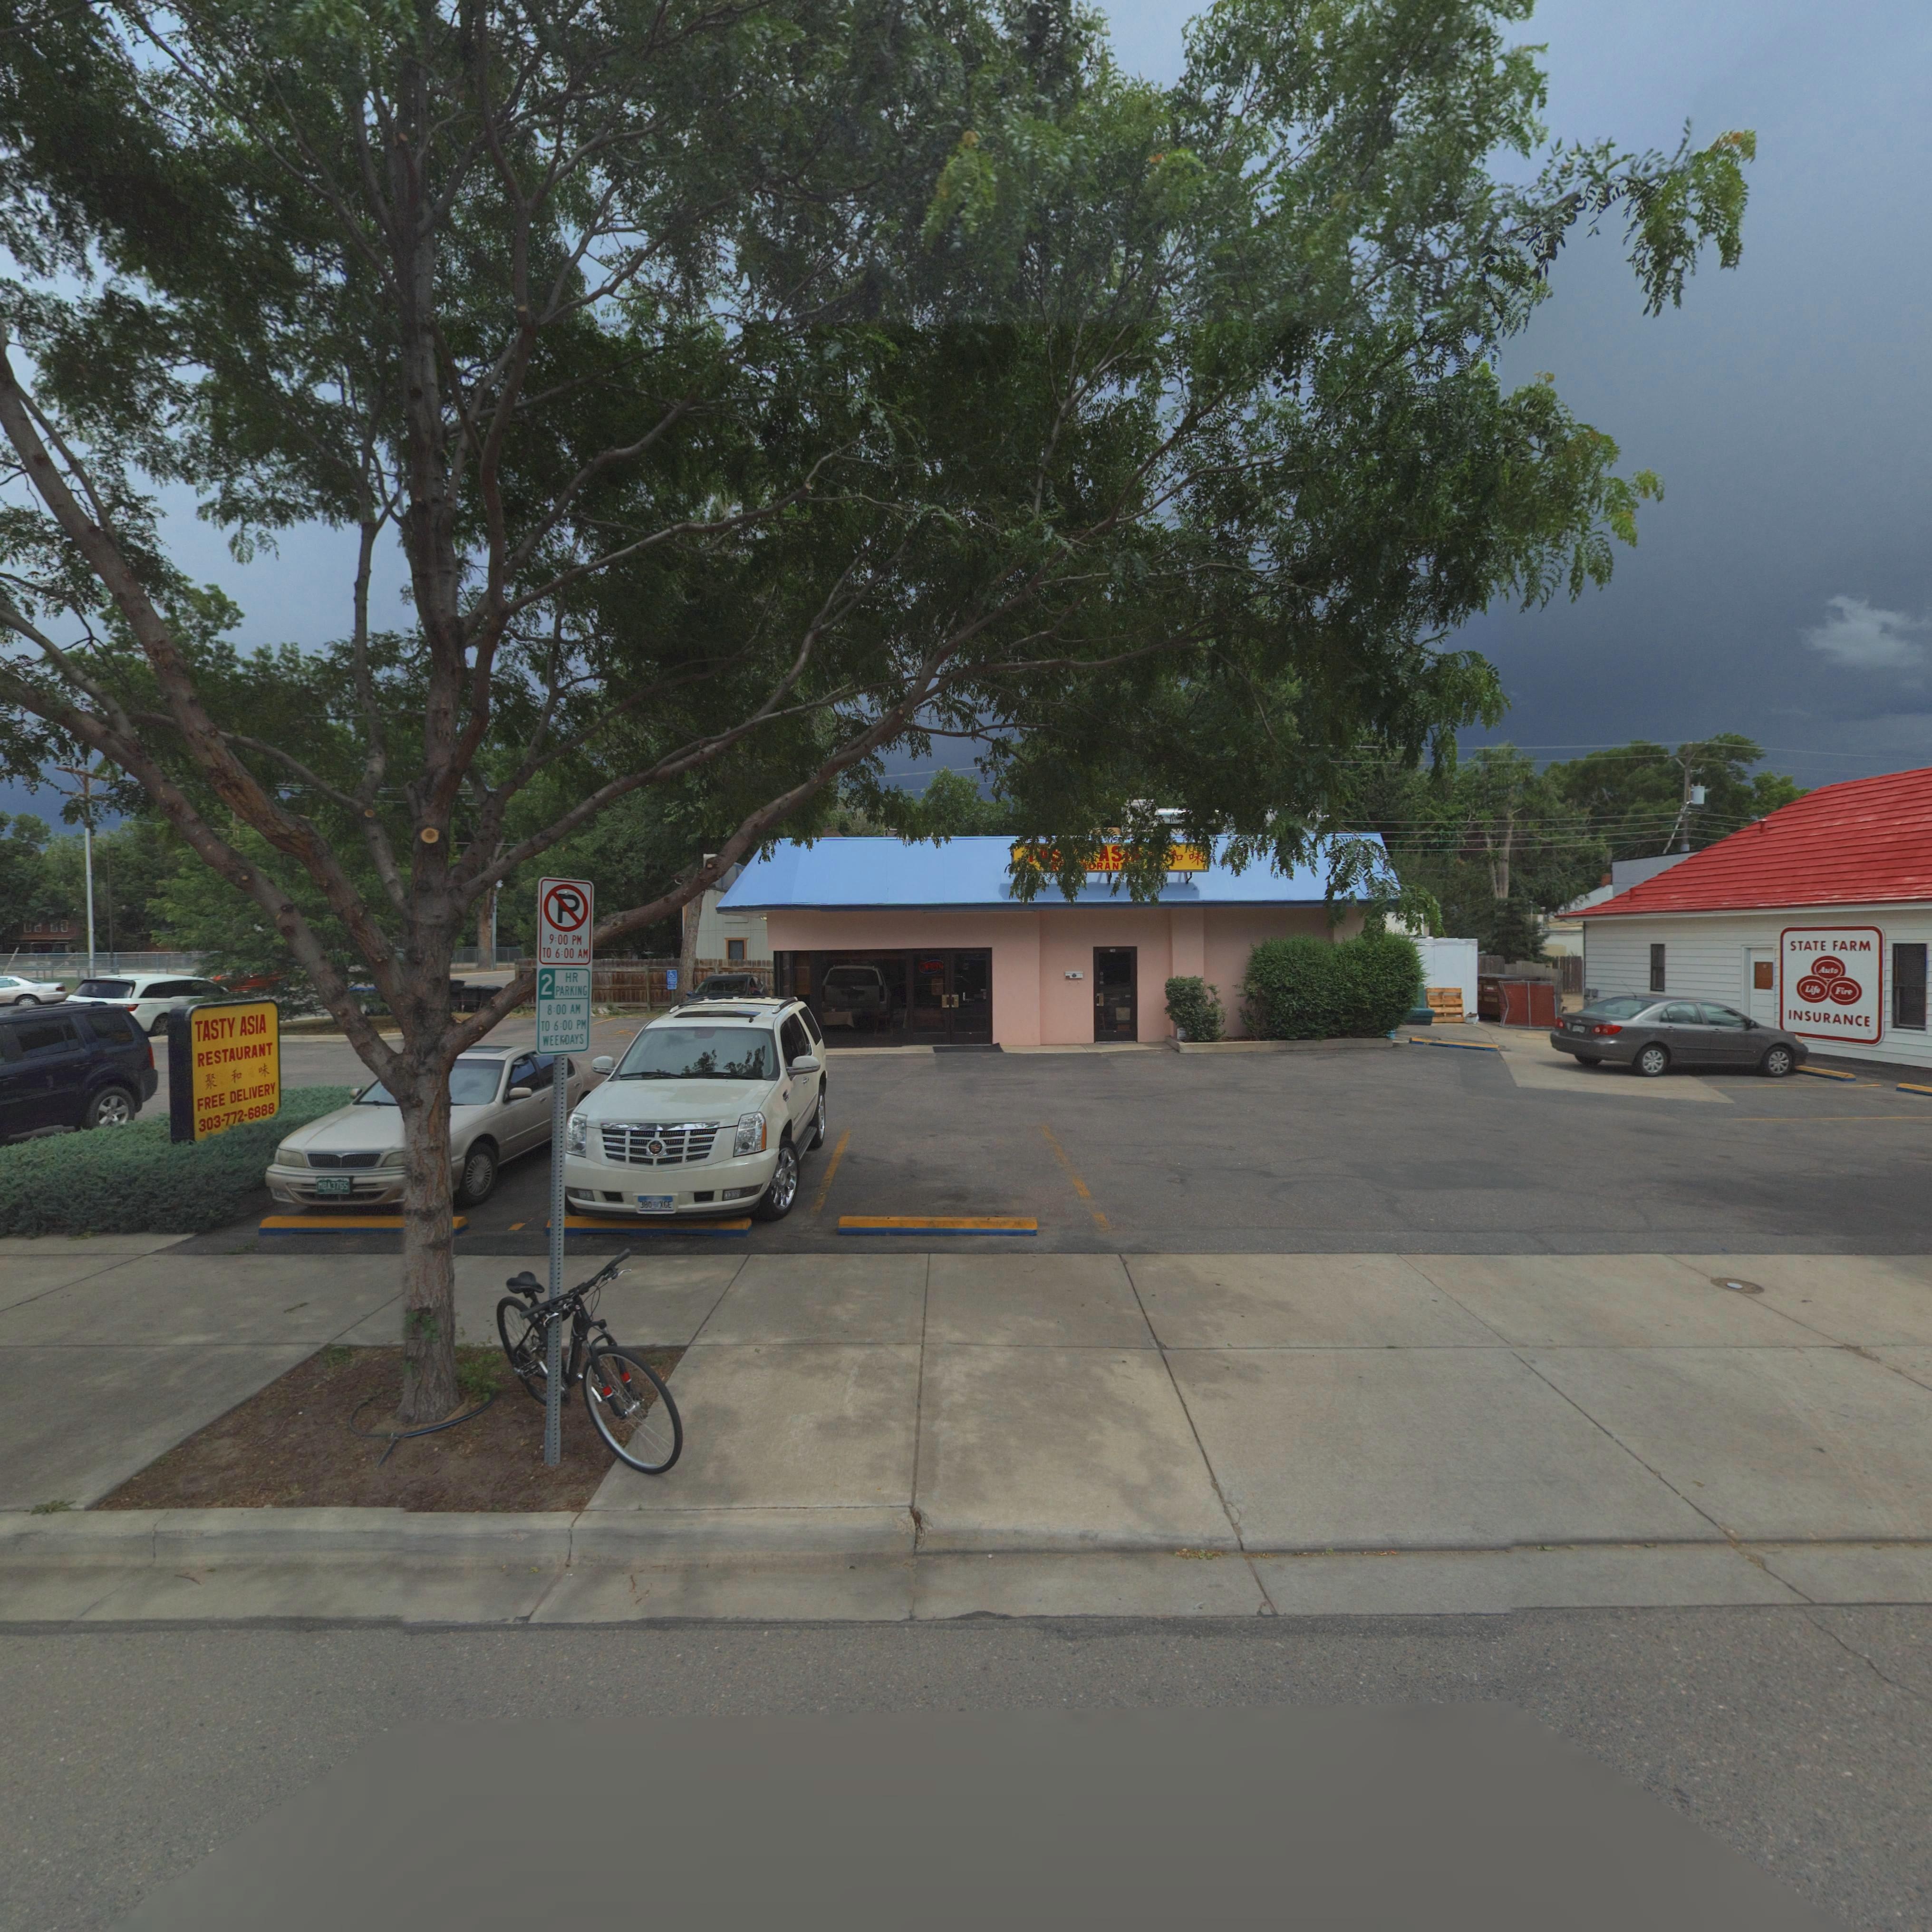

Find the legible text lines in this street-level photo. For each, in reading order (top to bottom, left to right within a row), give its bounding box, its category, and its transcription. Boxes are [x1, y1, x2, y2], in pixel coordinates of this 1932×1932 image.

[1096, 862, 1119, 869] BusinessName: RAN
[1790, 940, 1871, 951] BusinessName: STATE FARM
[1789, 1009, 1870, 1027] BusinessName: INSURANCE
[194, 1014, 267, 1042] BusinessName: TASTY ASIA
[197, 1042, 272, 1067] BusinessName: RESTAURANT